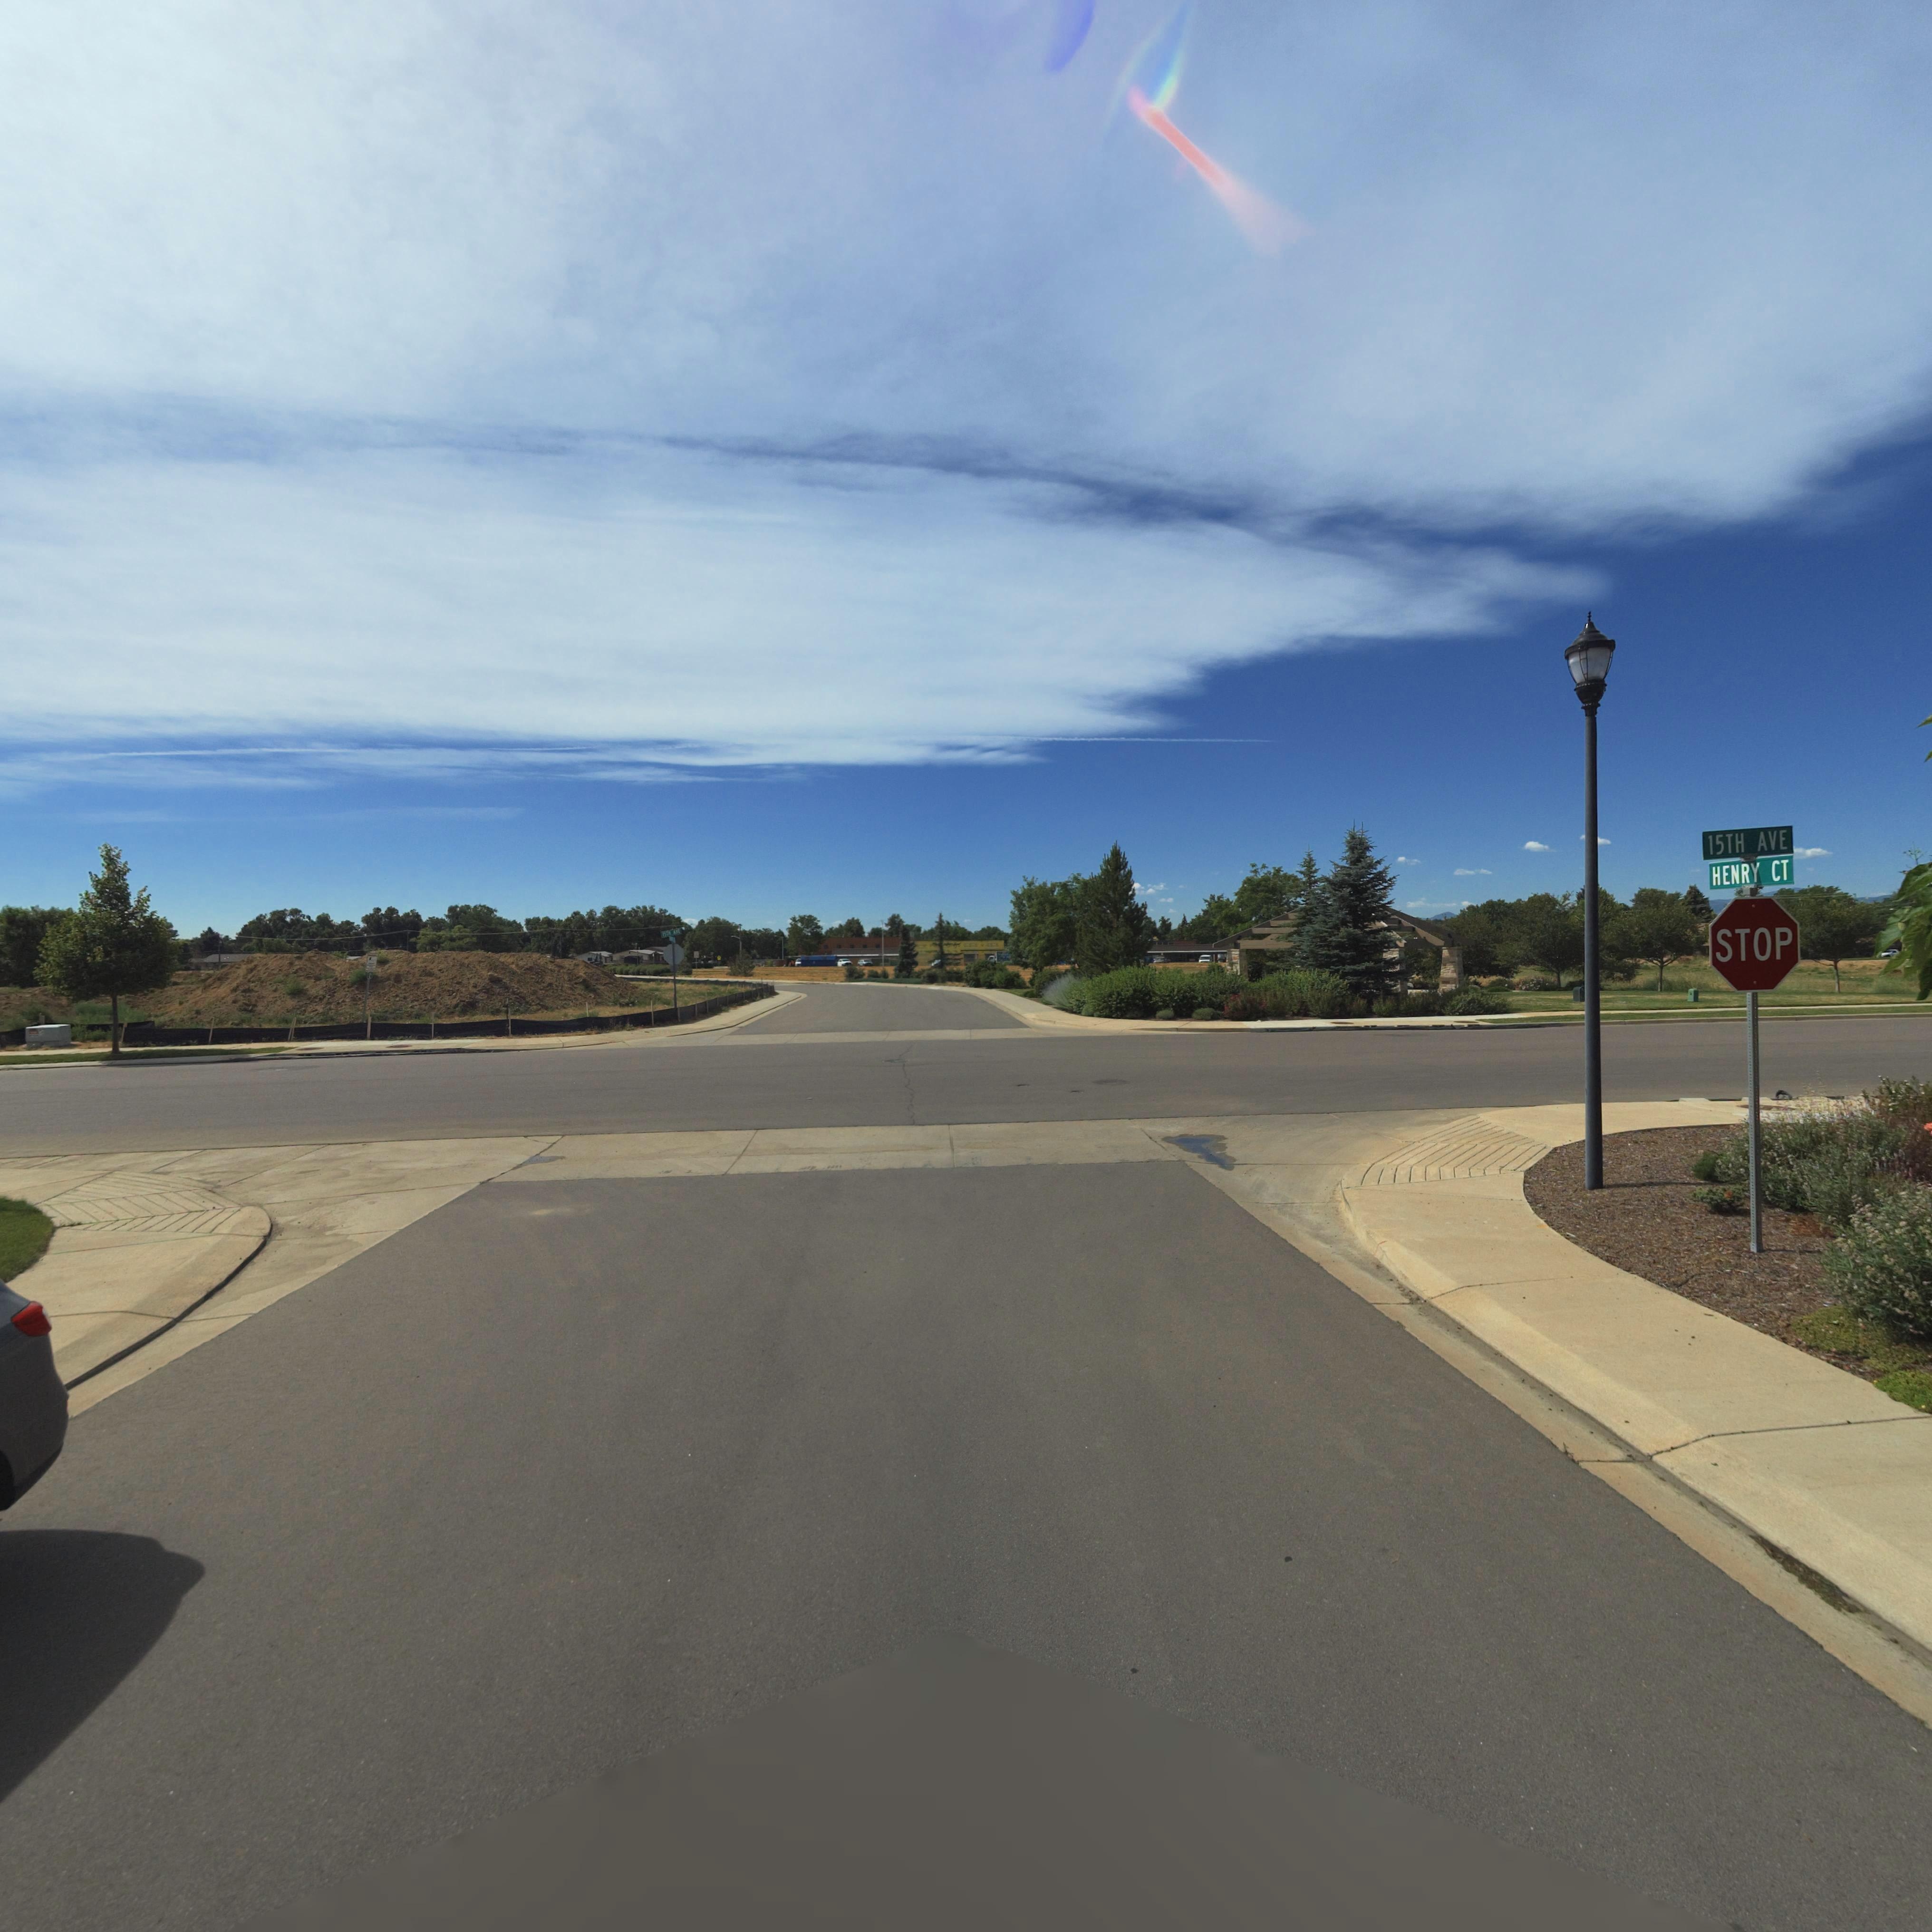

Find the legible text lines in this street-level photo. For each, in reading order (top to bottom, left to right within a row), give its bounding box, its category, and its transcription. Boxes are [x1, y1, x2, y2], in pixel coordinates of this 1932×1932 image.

[1708, 829, 1787, 855] StreetName: 15TH AVE
[1711, 859, 1789, 886] StreetName: HENRY CT
[662, 928, 681, 937] StreetName: 15TH AVE